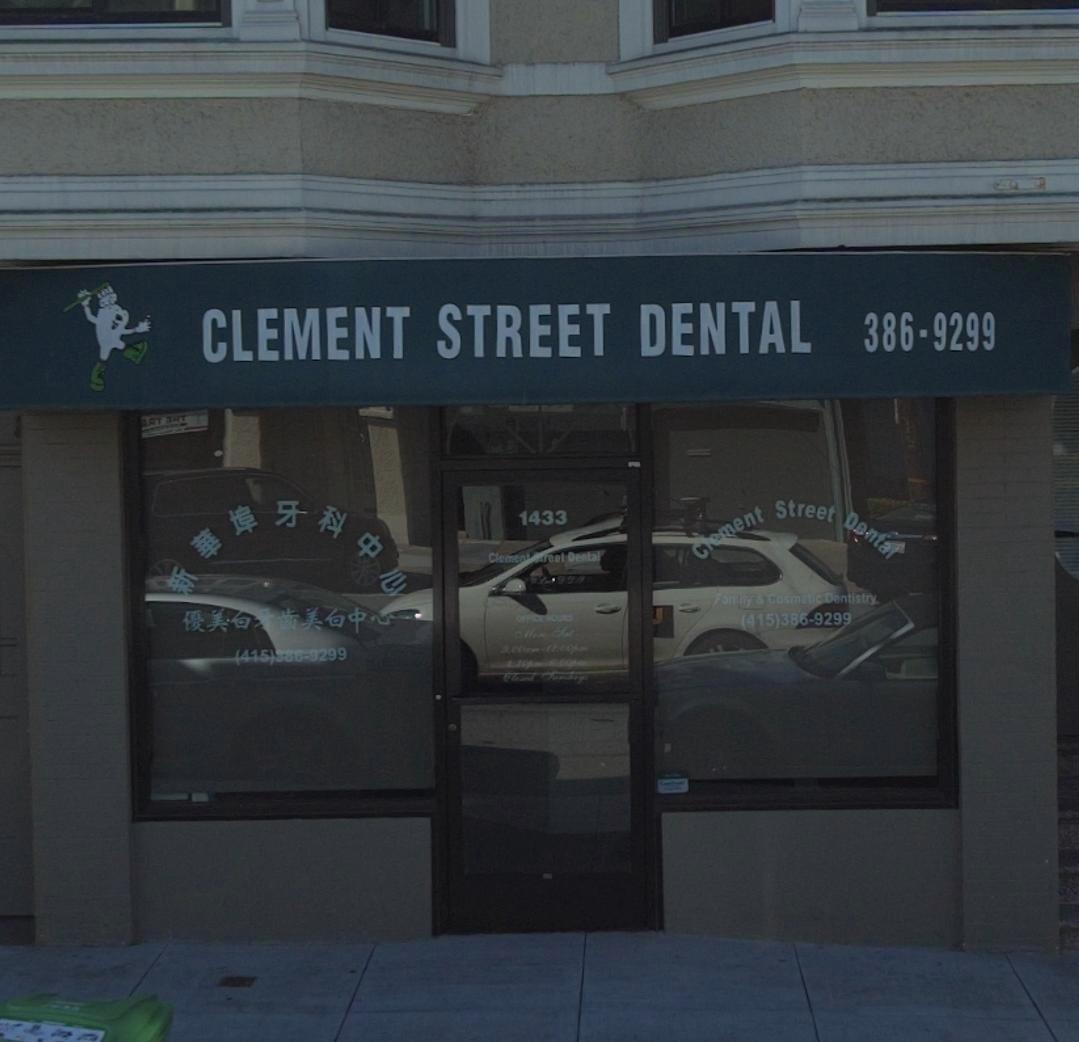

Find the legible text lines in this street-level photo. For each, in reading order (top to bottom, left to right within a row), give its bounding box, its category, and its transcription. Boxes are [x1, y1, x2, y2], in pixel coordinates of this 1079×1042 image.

[199, 295, 812, 369] BusinessName: CLEMENT STREET DENTAL
[860, 306, 999, 355] None: 386-9299
[516, 508, 570, 529] StreetNumber: 1433
[688, 498, 904, 562] BusinessName: Clement Street Dental
[488, 550, 601, 565] None: Clement Street Dental
[714, 591, 877, 606] None: Family & Cosmetic Dentistry
[515, 612, 575, 624] None: OFFICE HOURS
[740, 611, 852, 631] None: (415)386-9299
[234, 645, 348, 667] None: (415)386-9299